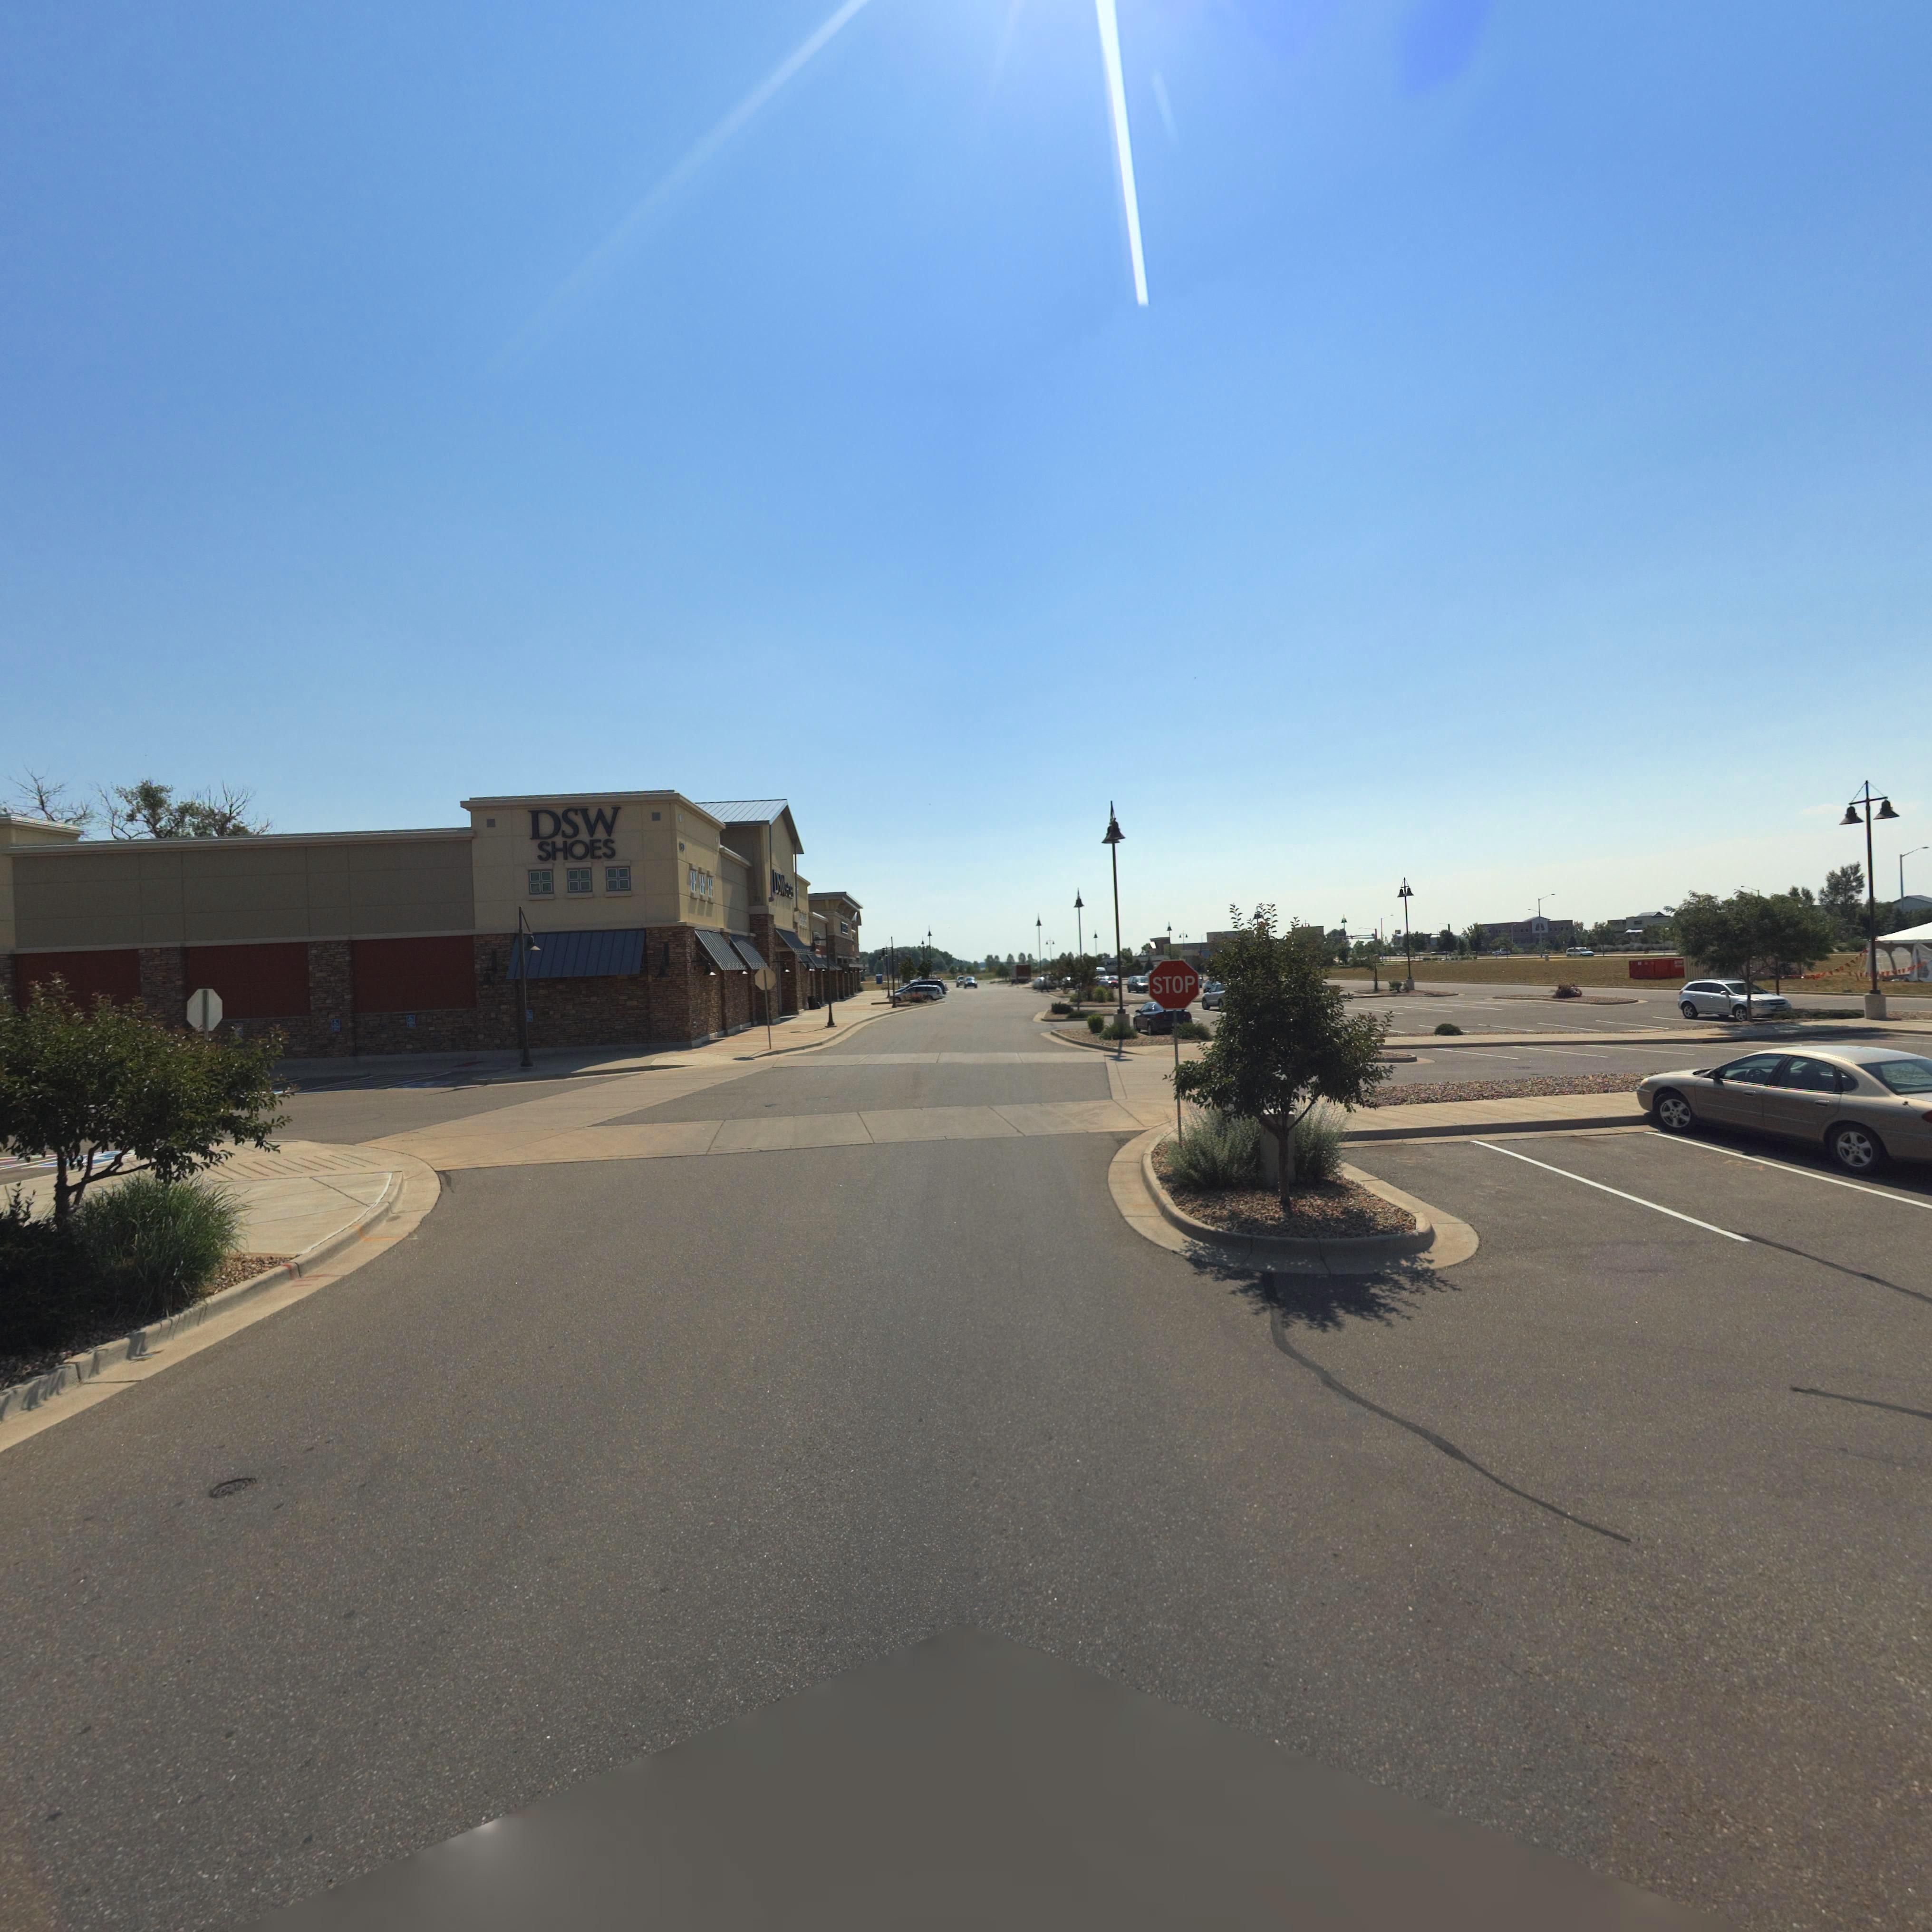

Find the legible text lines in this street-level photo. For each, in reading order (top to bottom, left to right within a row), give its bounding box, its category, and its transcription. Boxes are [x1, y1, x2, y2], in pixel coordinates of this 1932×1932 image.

[527, 806, 622, 840] BusinessName: DSW
[537, 838, 616, 861] BusinessName: SHOES
[678, 841, 685, 852] StreetNumber: **0
[773, 869, 794, 899] BusinessName: D*W SHOES